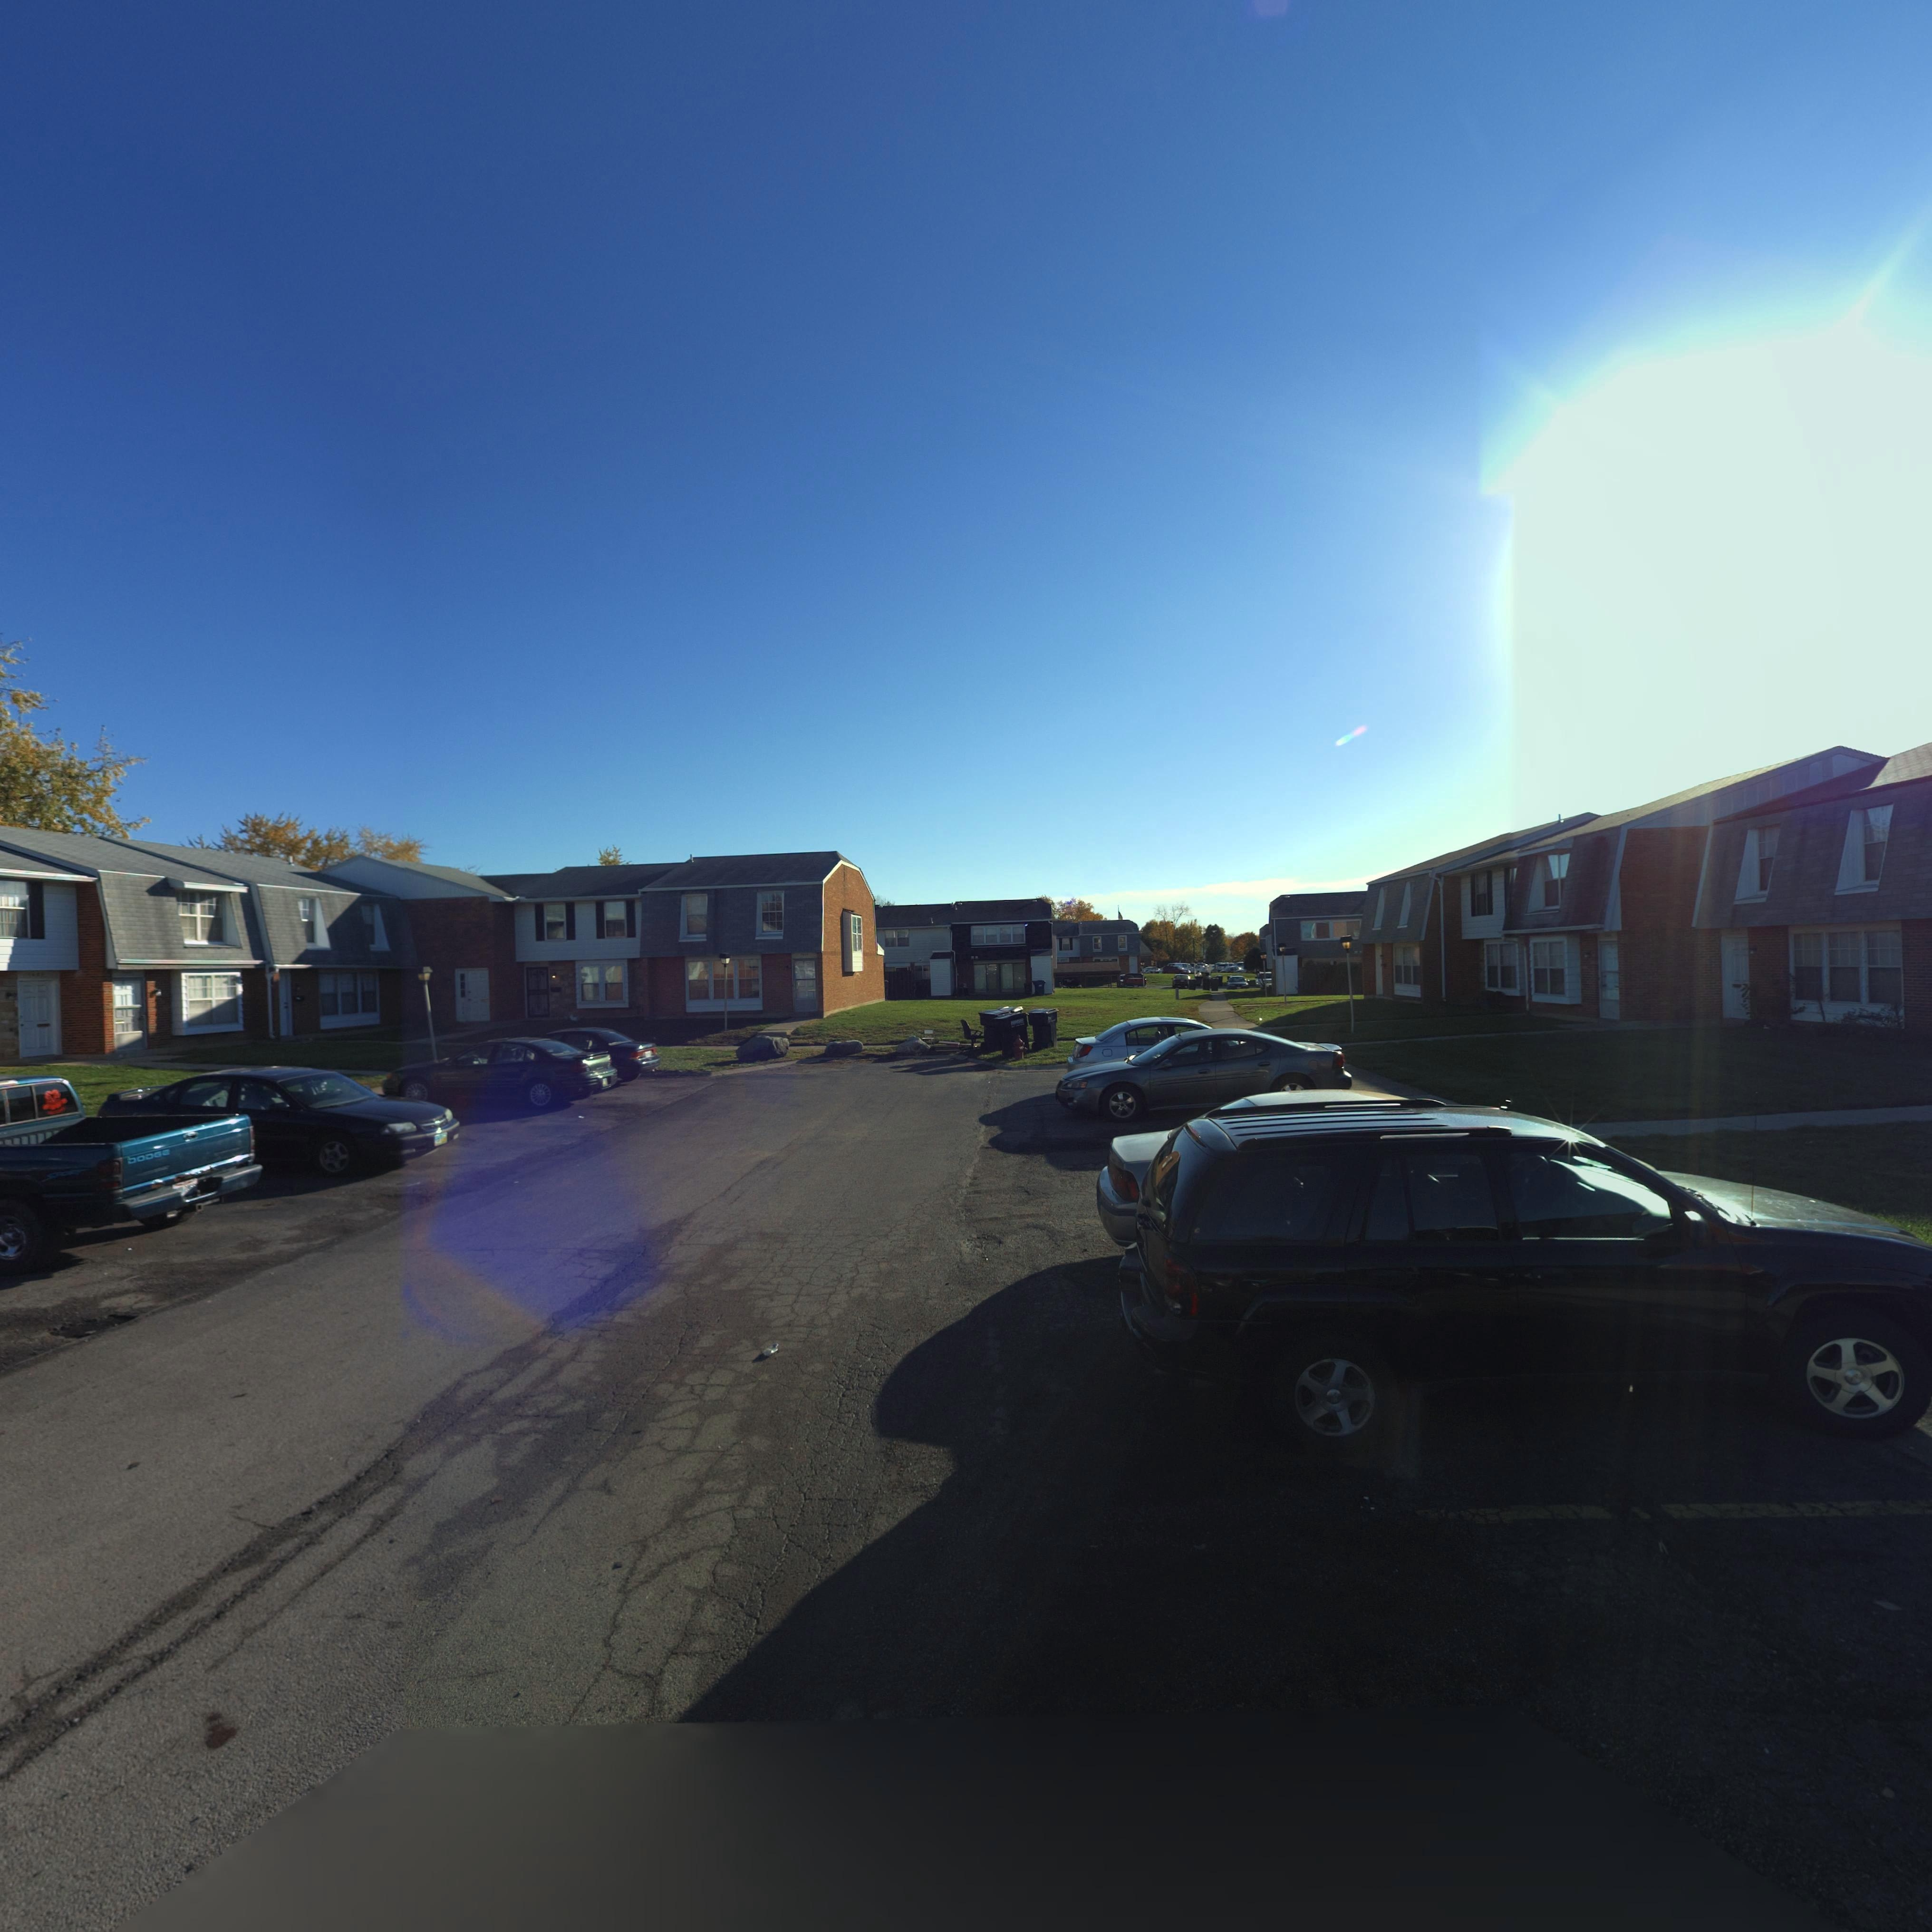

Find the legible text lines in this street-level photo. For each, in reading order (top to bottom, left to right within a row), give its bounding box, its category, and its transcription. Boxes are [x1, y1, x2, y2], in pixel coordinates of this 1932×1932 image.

[800, 953, 809, 956] StreetNumber: 761*